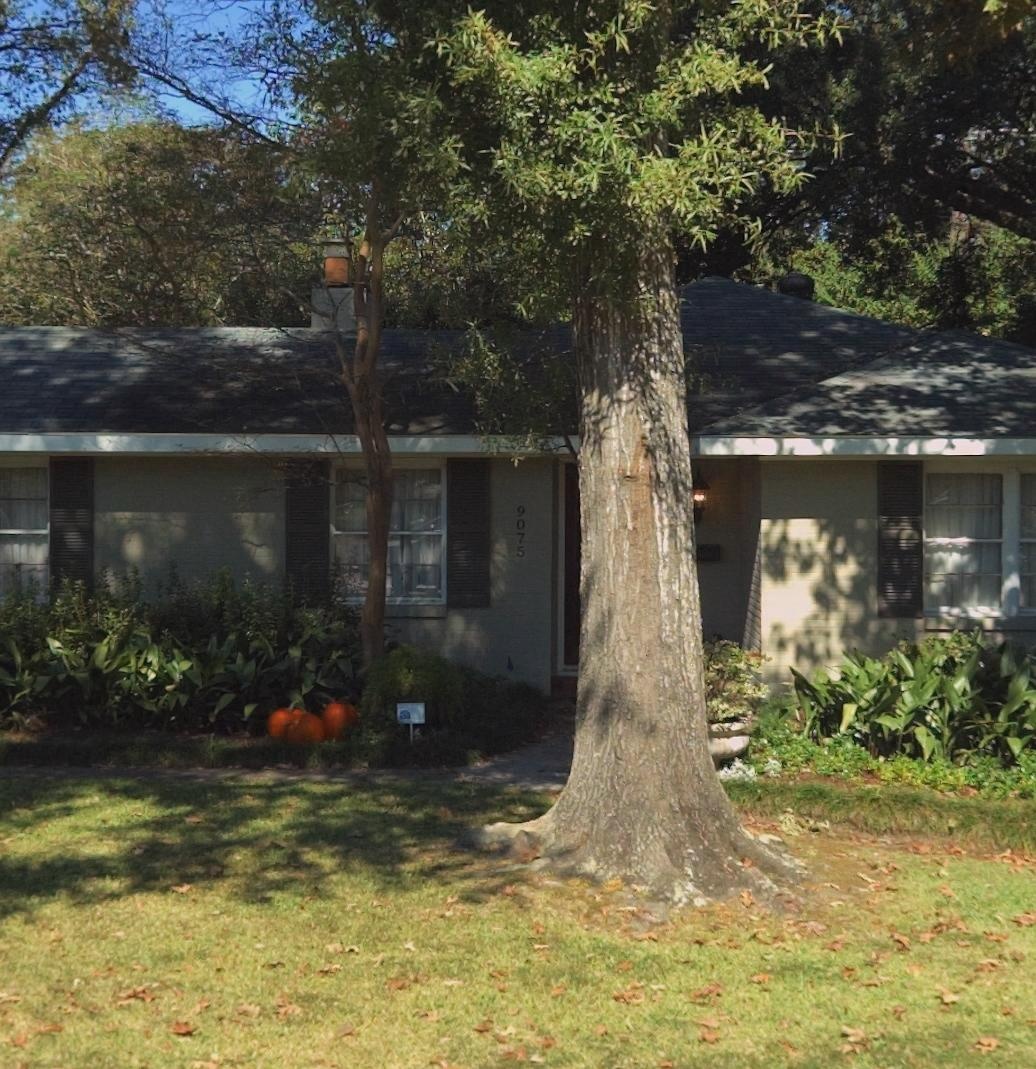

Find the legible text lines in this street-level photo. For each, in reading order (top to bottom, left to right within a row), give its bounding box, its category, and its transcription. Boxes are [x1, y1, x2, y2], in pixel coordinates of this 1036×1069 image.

[515, 504, 527, 559] StreetNumber: 9075